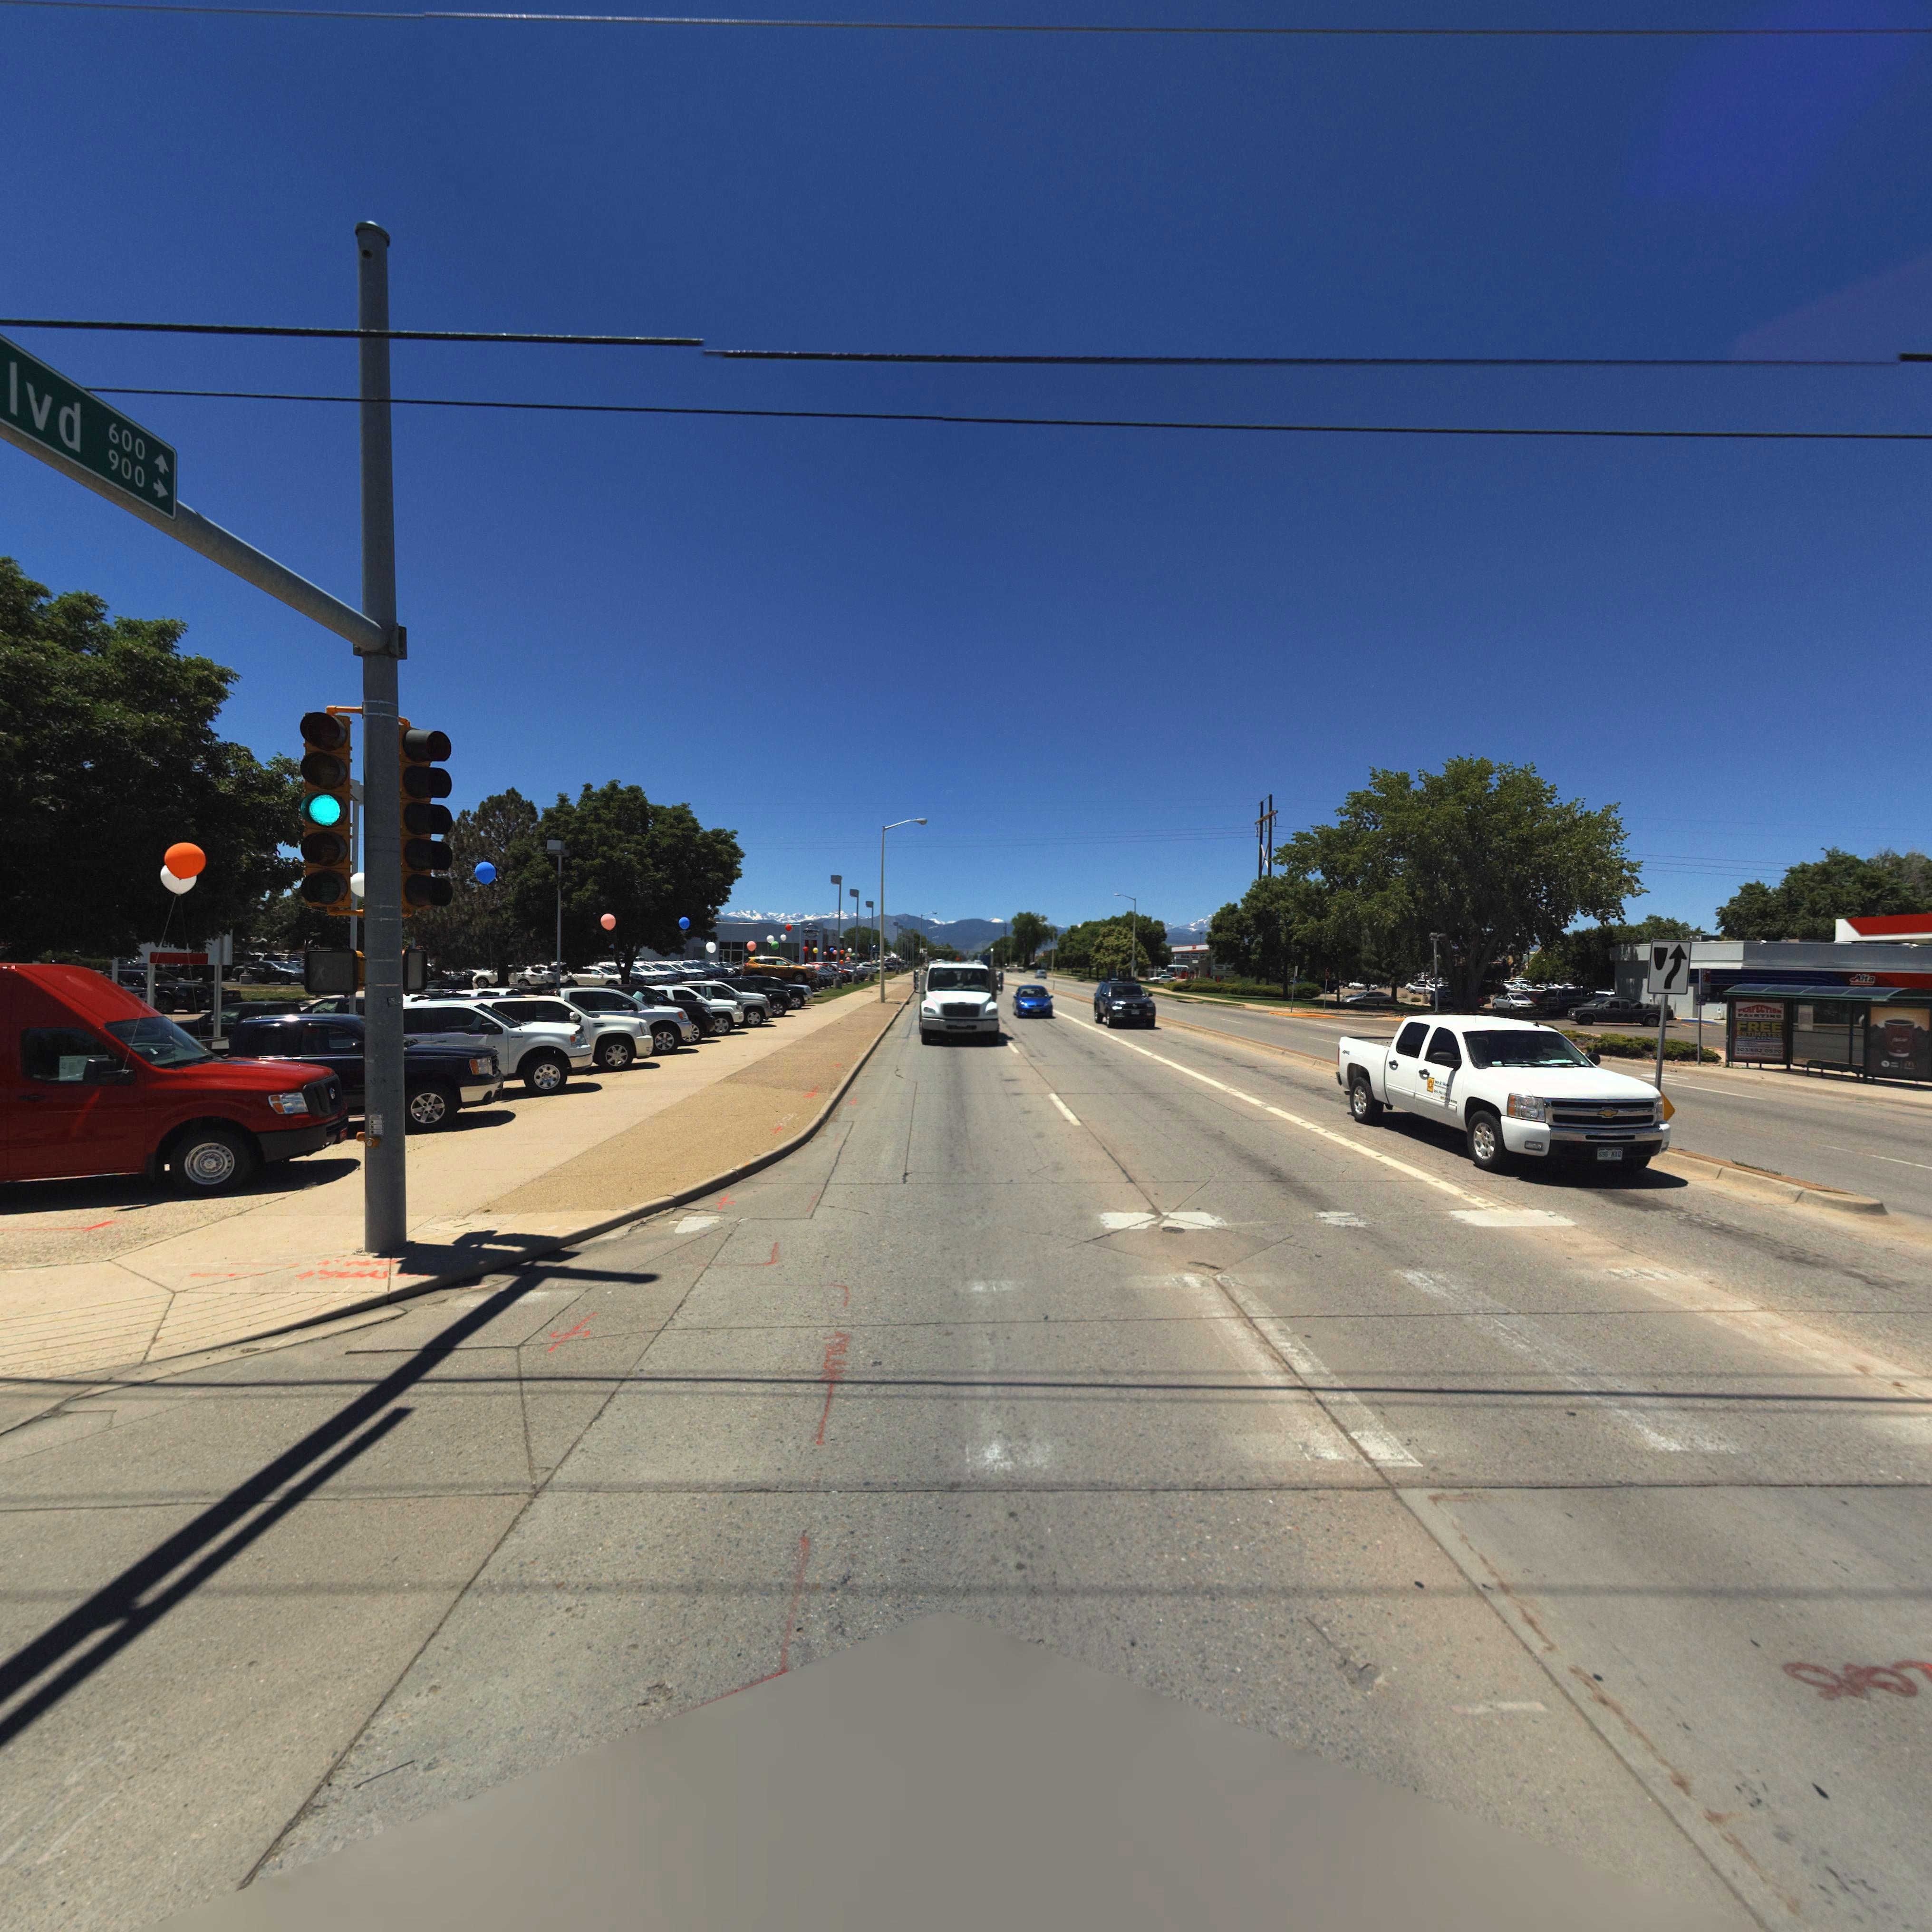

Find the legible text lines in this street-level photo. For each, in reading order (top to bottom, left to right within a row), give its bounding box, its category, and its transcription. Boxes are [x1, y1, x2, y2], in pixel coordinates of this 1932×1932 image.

[8, 360, 82, 454] StreetName: lvd
[107, 422, 145, 462] StreetNumberRange: 600
[107, 446, 171, 500] StreetNumberRange: 900->
[1849, 973, 1875, 982] BusinessName: Alta